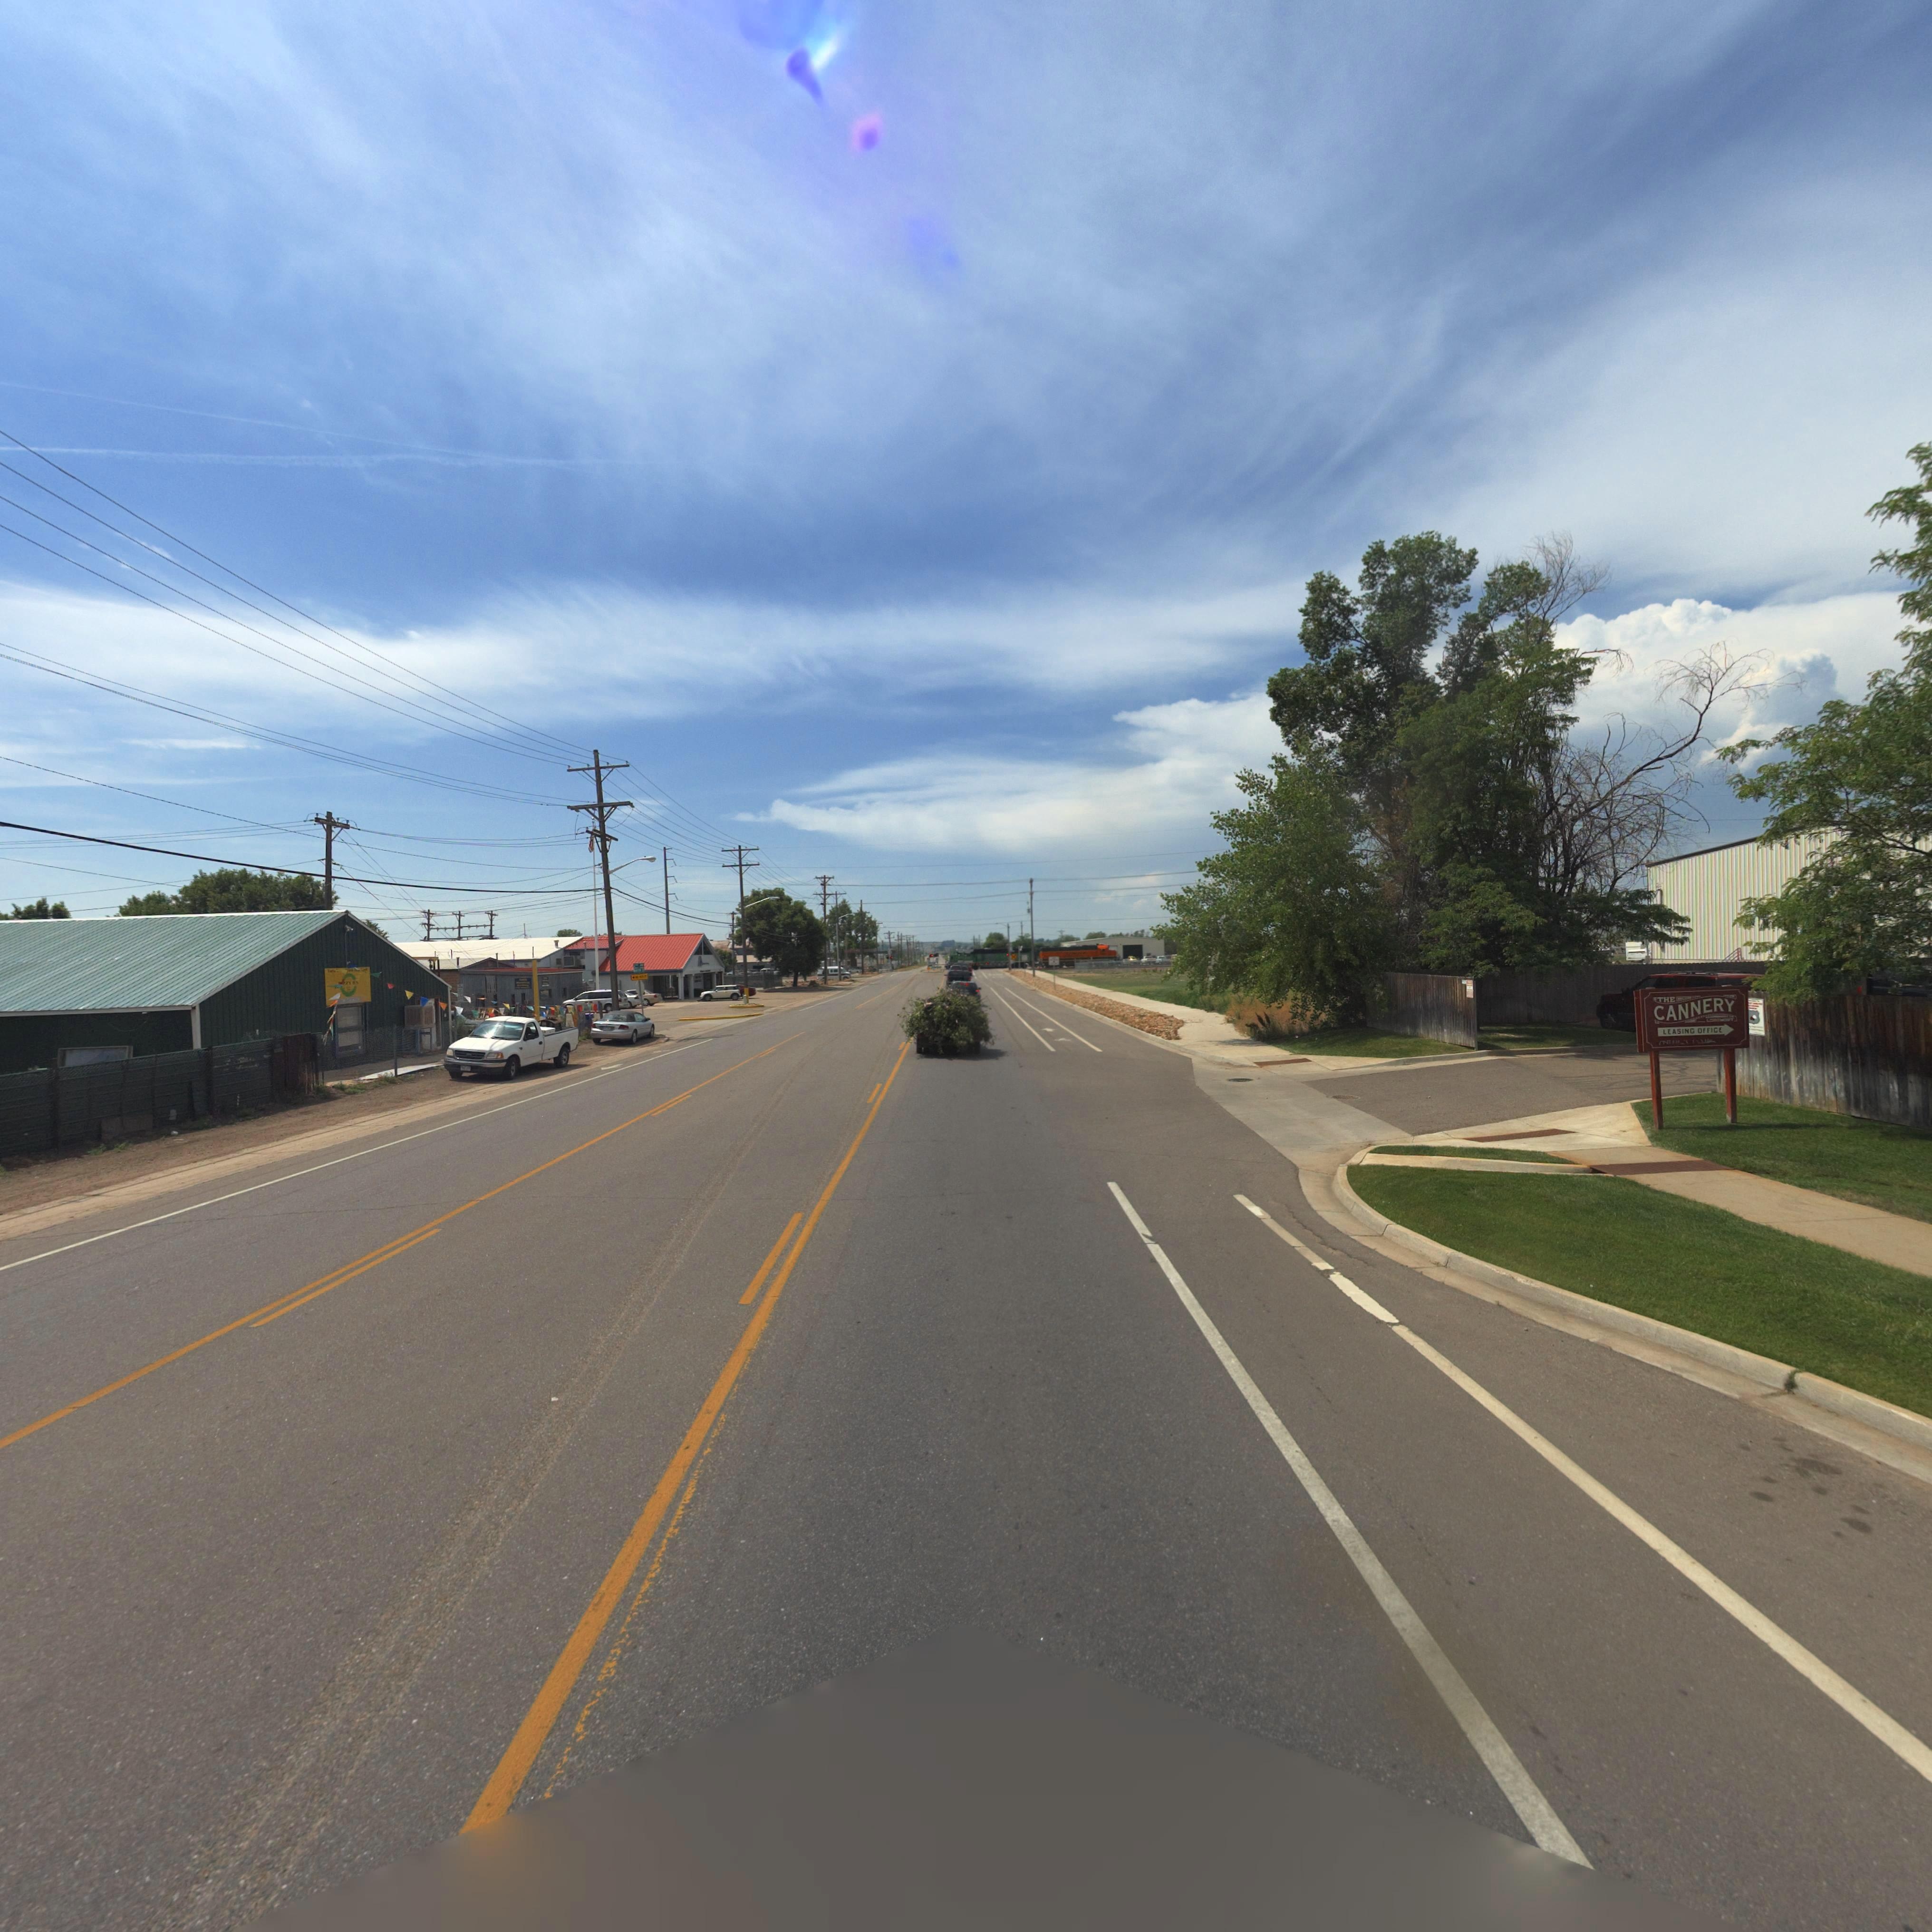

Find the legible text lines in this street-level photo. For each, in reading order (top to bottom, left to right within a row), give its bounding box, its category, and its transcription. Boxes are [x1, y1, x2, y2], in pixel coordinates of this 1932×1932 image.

[338, 980, 359, 985] BusinessName: ******S
[1657, 996, 1675, 1003] BusinessName: THE
[1653, 997, 1735, 1021] BusinessName: CANNERY